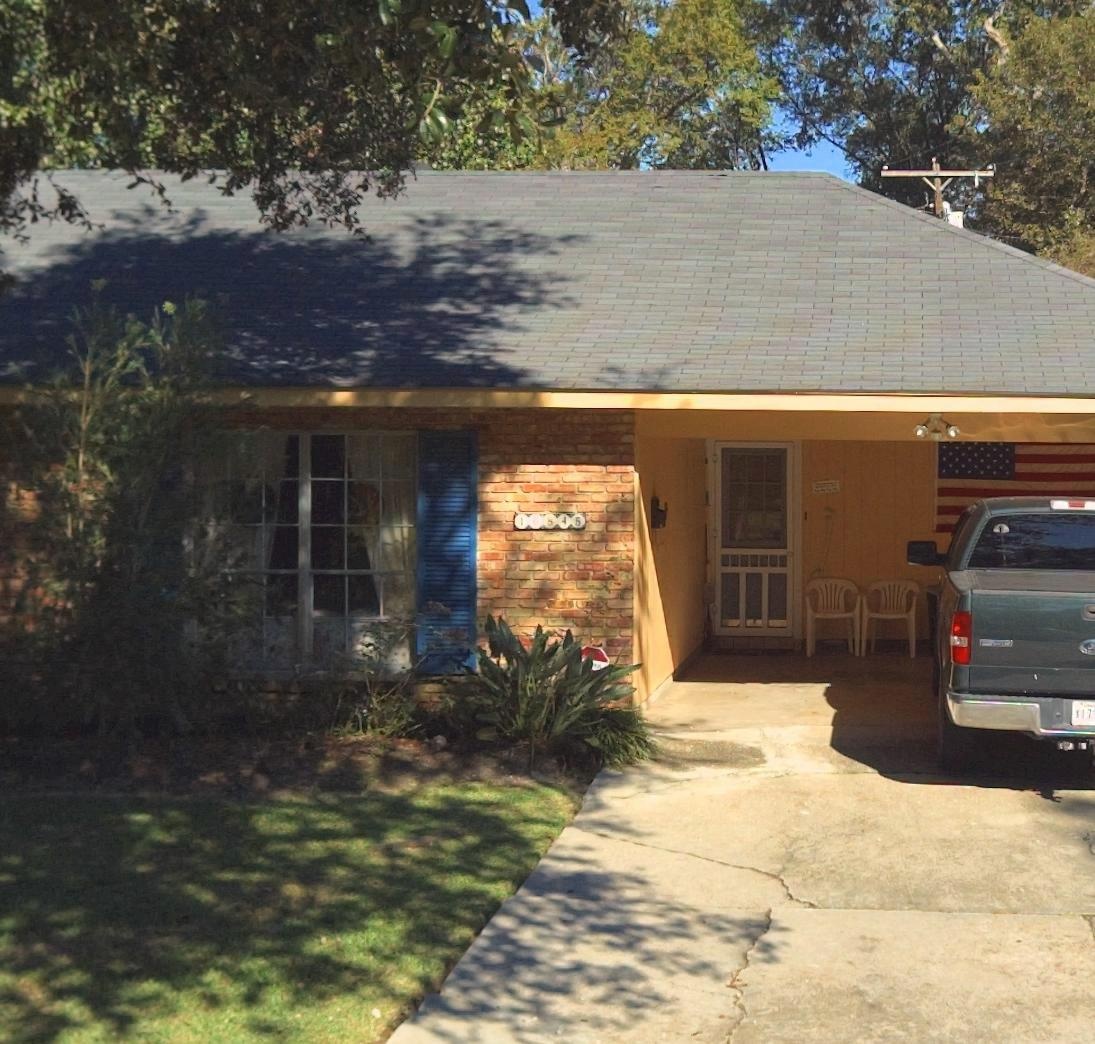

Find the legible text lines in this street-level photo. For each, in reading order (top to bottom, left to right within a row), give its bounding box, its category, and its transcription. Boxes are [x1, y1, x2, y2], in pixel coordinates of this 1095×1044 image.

[518, 514, 582, 528] StreetNumber: 1*845
[1073, 706, 1093, 721] None: X17